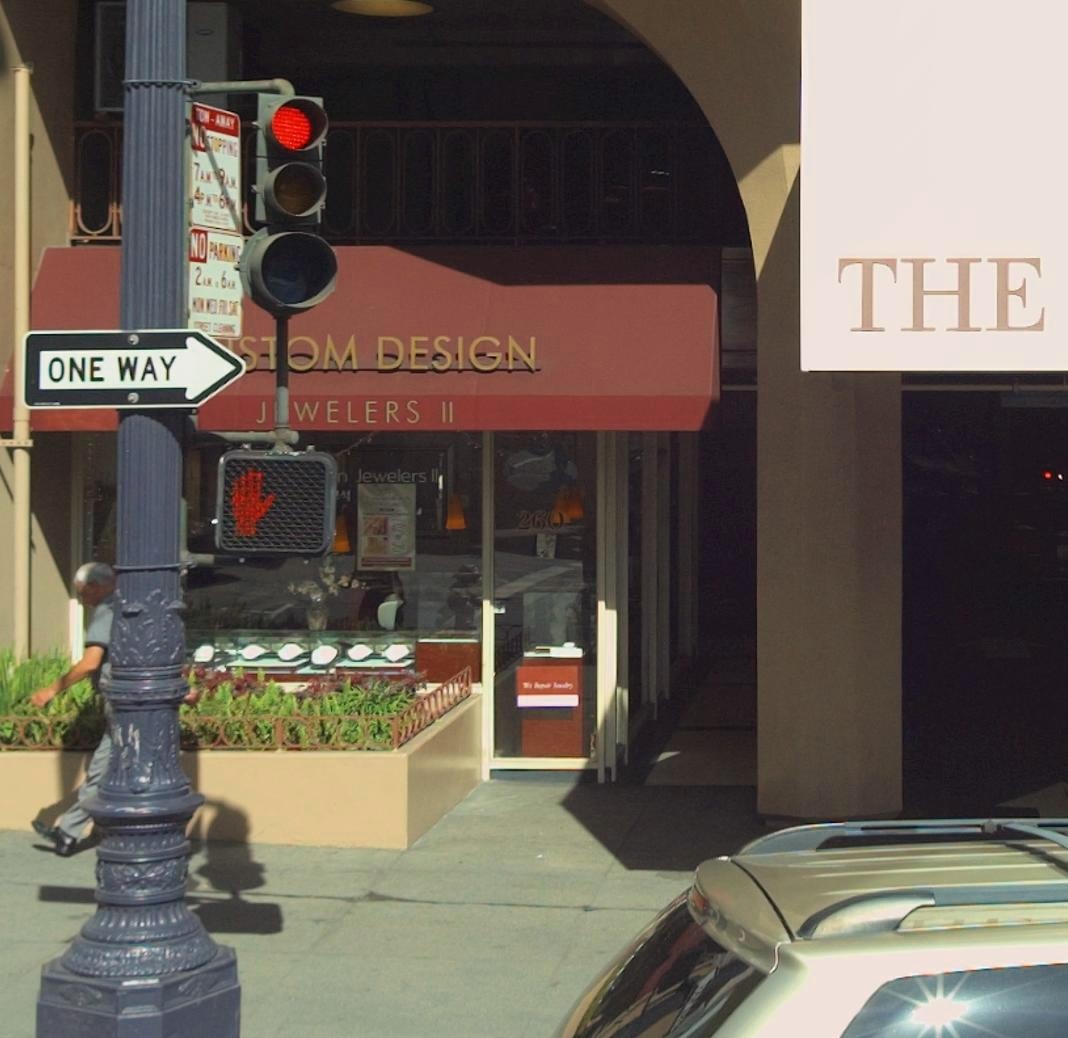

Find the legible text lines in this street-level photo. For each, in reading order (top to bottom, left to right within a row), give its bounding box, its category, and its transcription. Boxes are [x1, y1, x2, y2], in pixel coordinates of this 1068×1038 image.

[192, 105, 241, 136] None: TO*-AWAY
[188, 122, 240, 161] None: NO*TOPPING
[191, 159, 215, 187] None: 7AM
[212, 164, 243, 192] None: 9AM
[192, 183, 213, 210] None: 4PM
[216, 188, 240, 215] None: 6PM
[186, 226, 238, 265] None: NO PAR*IN
[192, 264, 214, 290] None: 2*M
[217, 268, 229, 291] None: 6**
[830, 250, 1050, 337] None: THE
[319, 329, 543, 378] BusinessName: M DESIGN
[45, 350, 181, 388] None: ONE WAY
[249, 397, 459, 430] BusinessName: J*WELERS II
[353, 465, 441, 486] BusinessName: Jewelers II
[513, 505, 568, 533] StreetNumber: 260